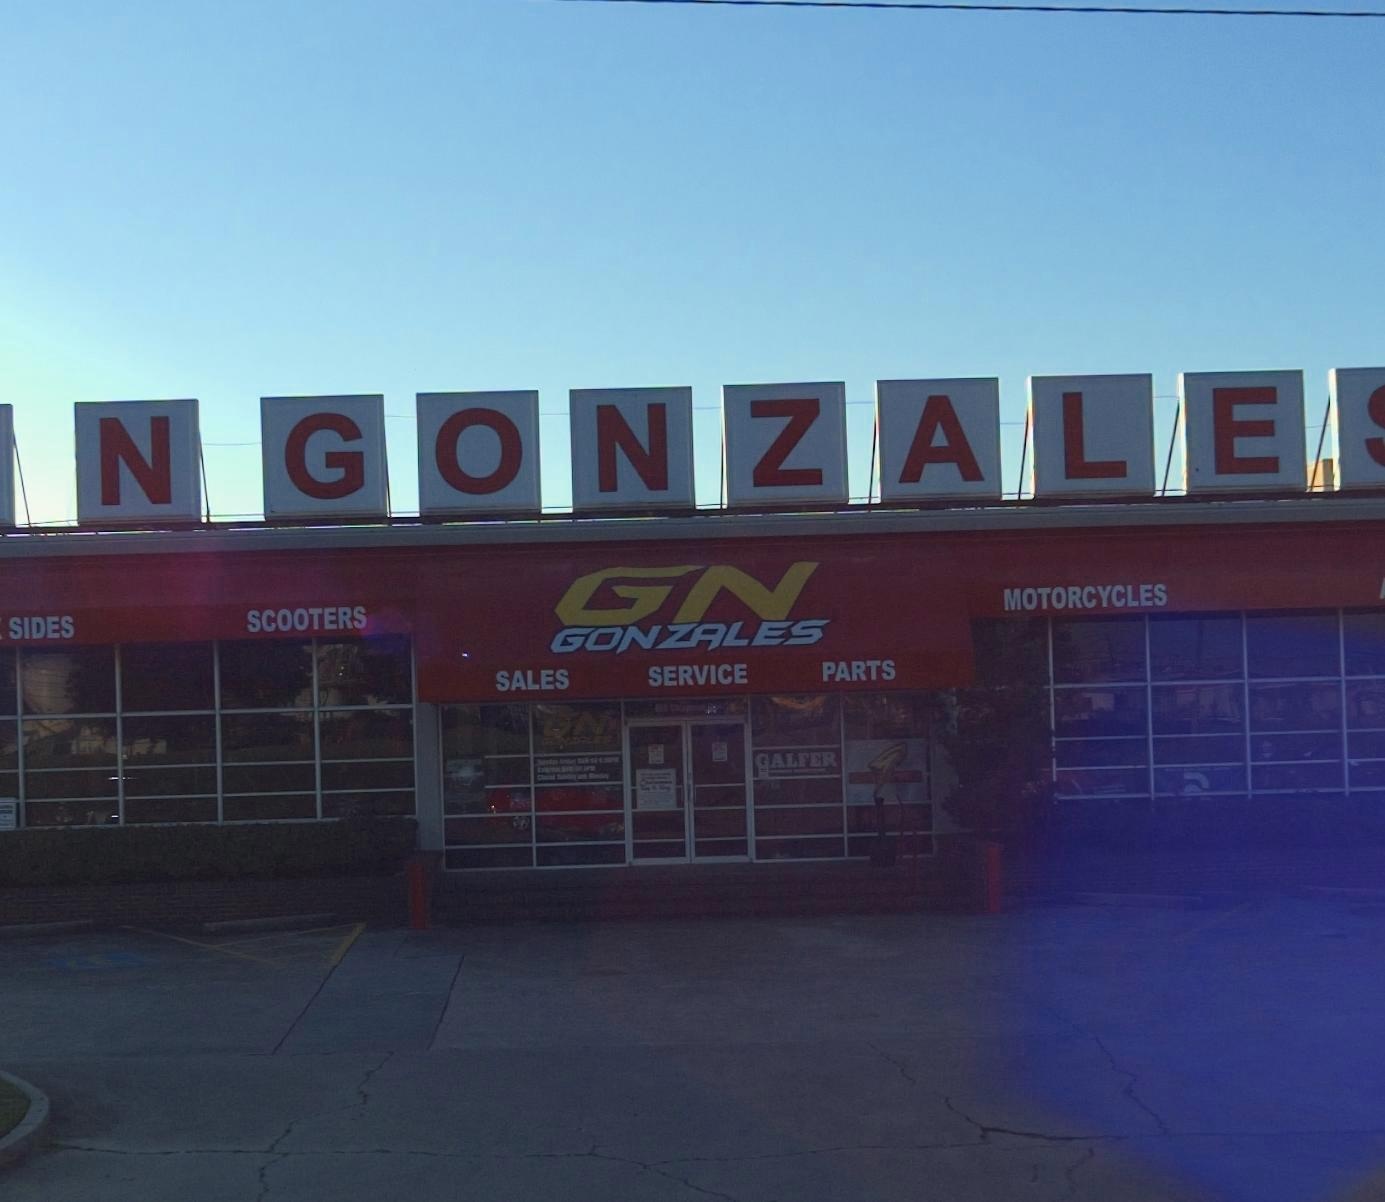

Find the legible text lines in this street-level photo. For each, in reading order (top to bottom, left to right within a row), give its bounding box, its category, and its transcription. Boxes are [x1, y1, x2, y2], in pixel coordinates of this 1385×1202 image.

[90, 375, 1293, 520] BusinessName: N*G*O*N*Z*A*L*E
[549, 559, 826, 628] BusinessName: GN
[1001, 580, 1171, 615] None: MOTORCYLES
[5, 612, 78, 642] None: SIDES
[245, 603, 371, 635] None: SCOOTERS
[547, 616, 835, 656] BusinessName: GONZALES
[493, 666, 572, 694] None: SALES
[646, 660, 750, 690] None: SERVICE
[820, 657, 900, 685] None: PARTS
[539, 707, 618, 739] BusinessName: GN
[751, 749, 841, 771] None: GALFER